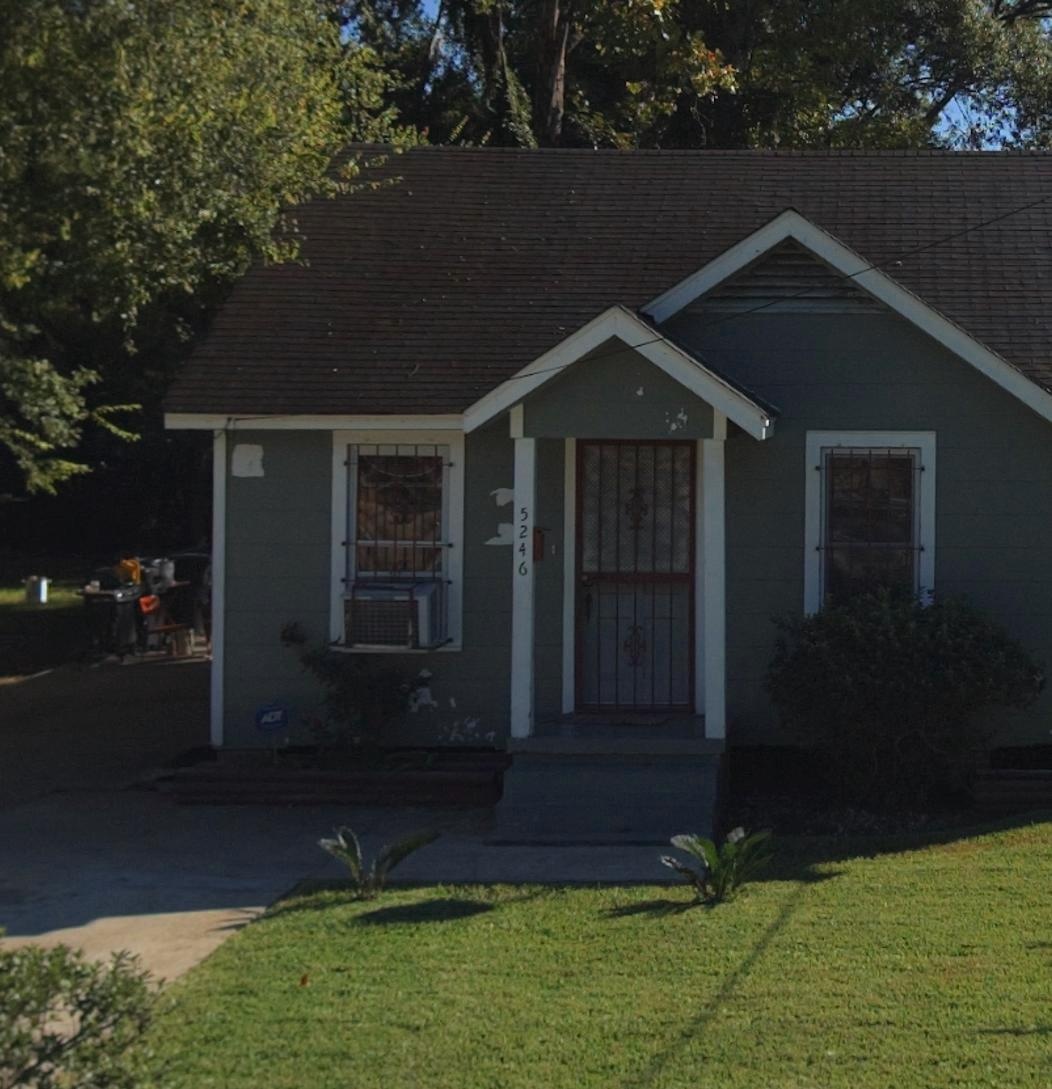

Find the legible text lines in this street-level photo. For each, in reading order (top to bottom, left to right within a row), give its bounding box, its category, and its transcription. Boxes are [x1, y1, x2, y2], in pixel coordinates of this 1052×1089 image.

[517, 506, 530, 578] StreetNumber: 5246
[259, 709, 283, 725] None: ADT